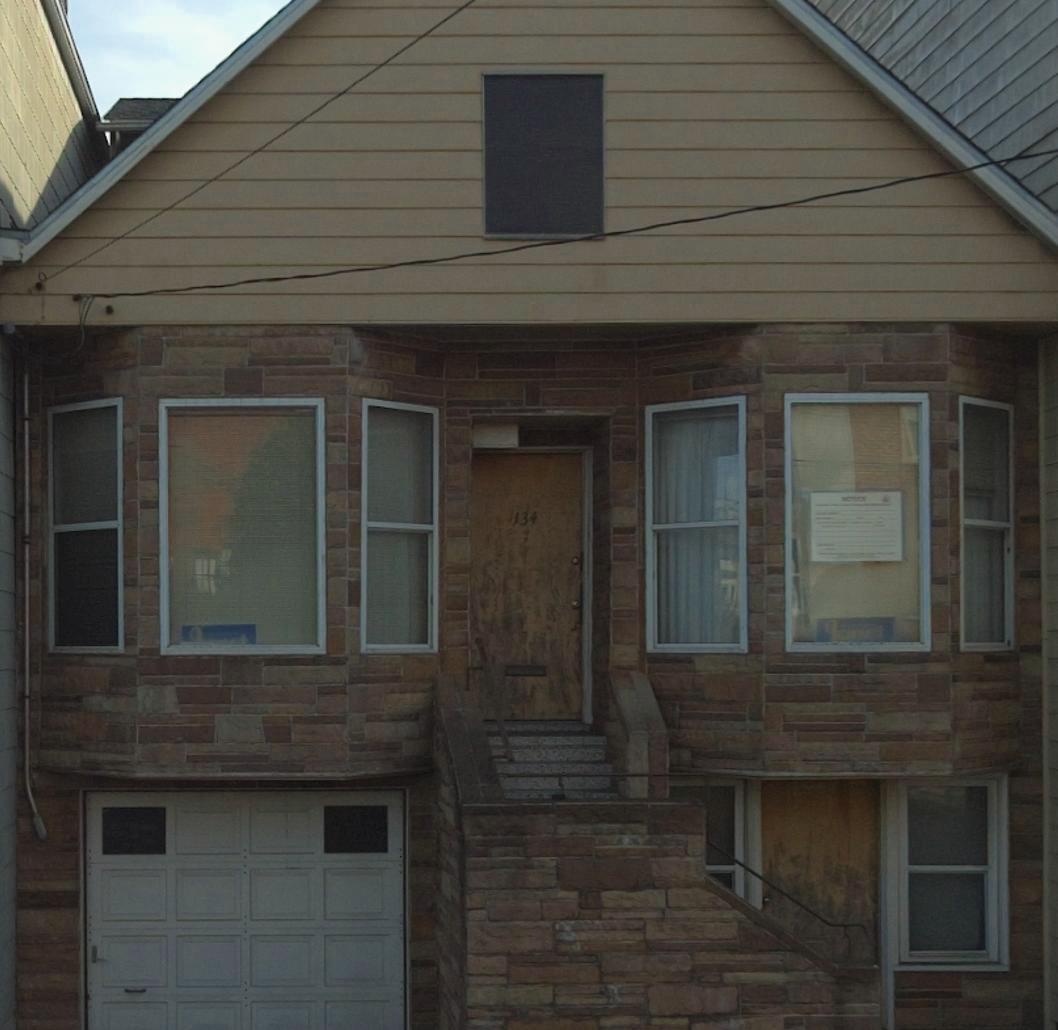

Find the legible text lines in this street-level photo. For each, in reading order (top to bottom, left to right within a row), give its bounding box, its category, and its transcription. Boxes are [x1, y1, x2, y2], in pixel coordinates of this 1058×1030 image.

[511, 509, 540, 527] StreetNumber: 134